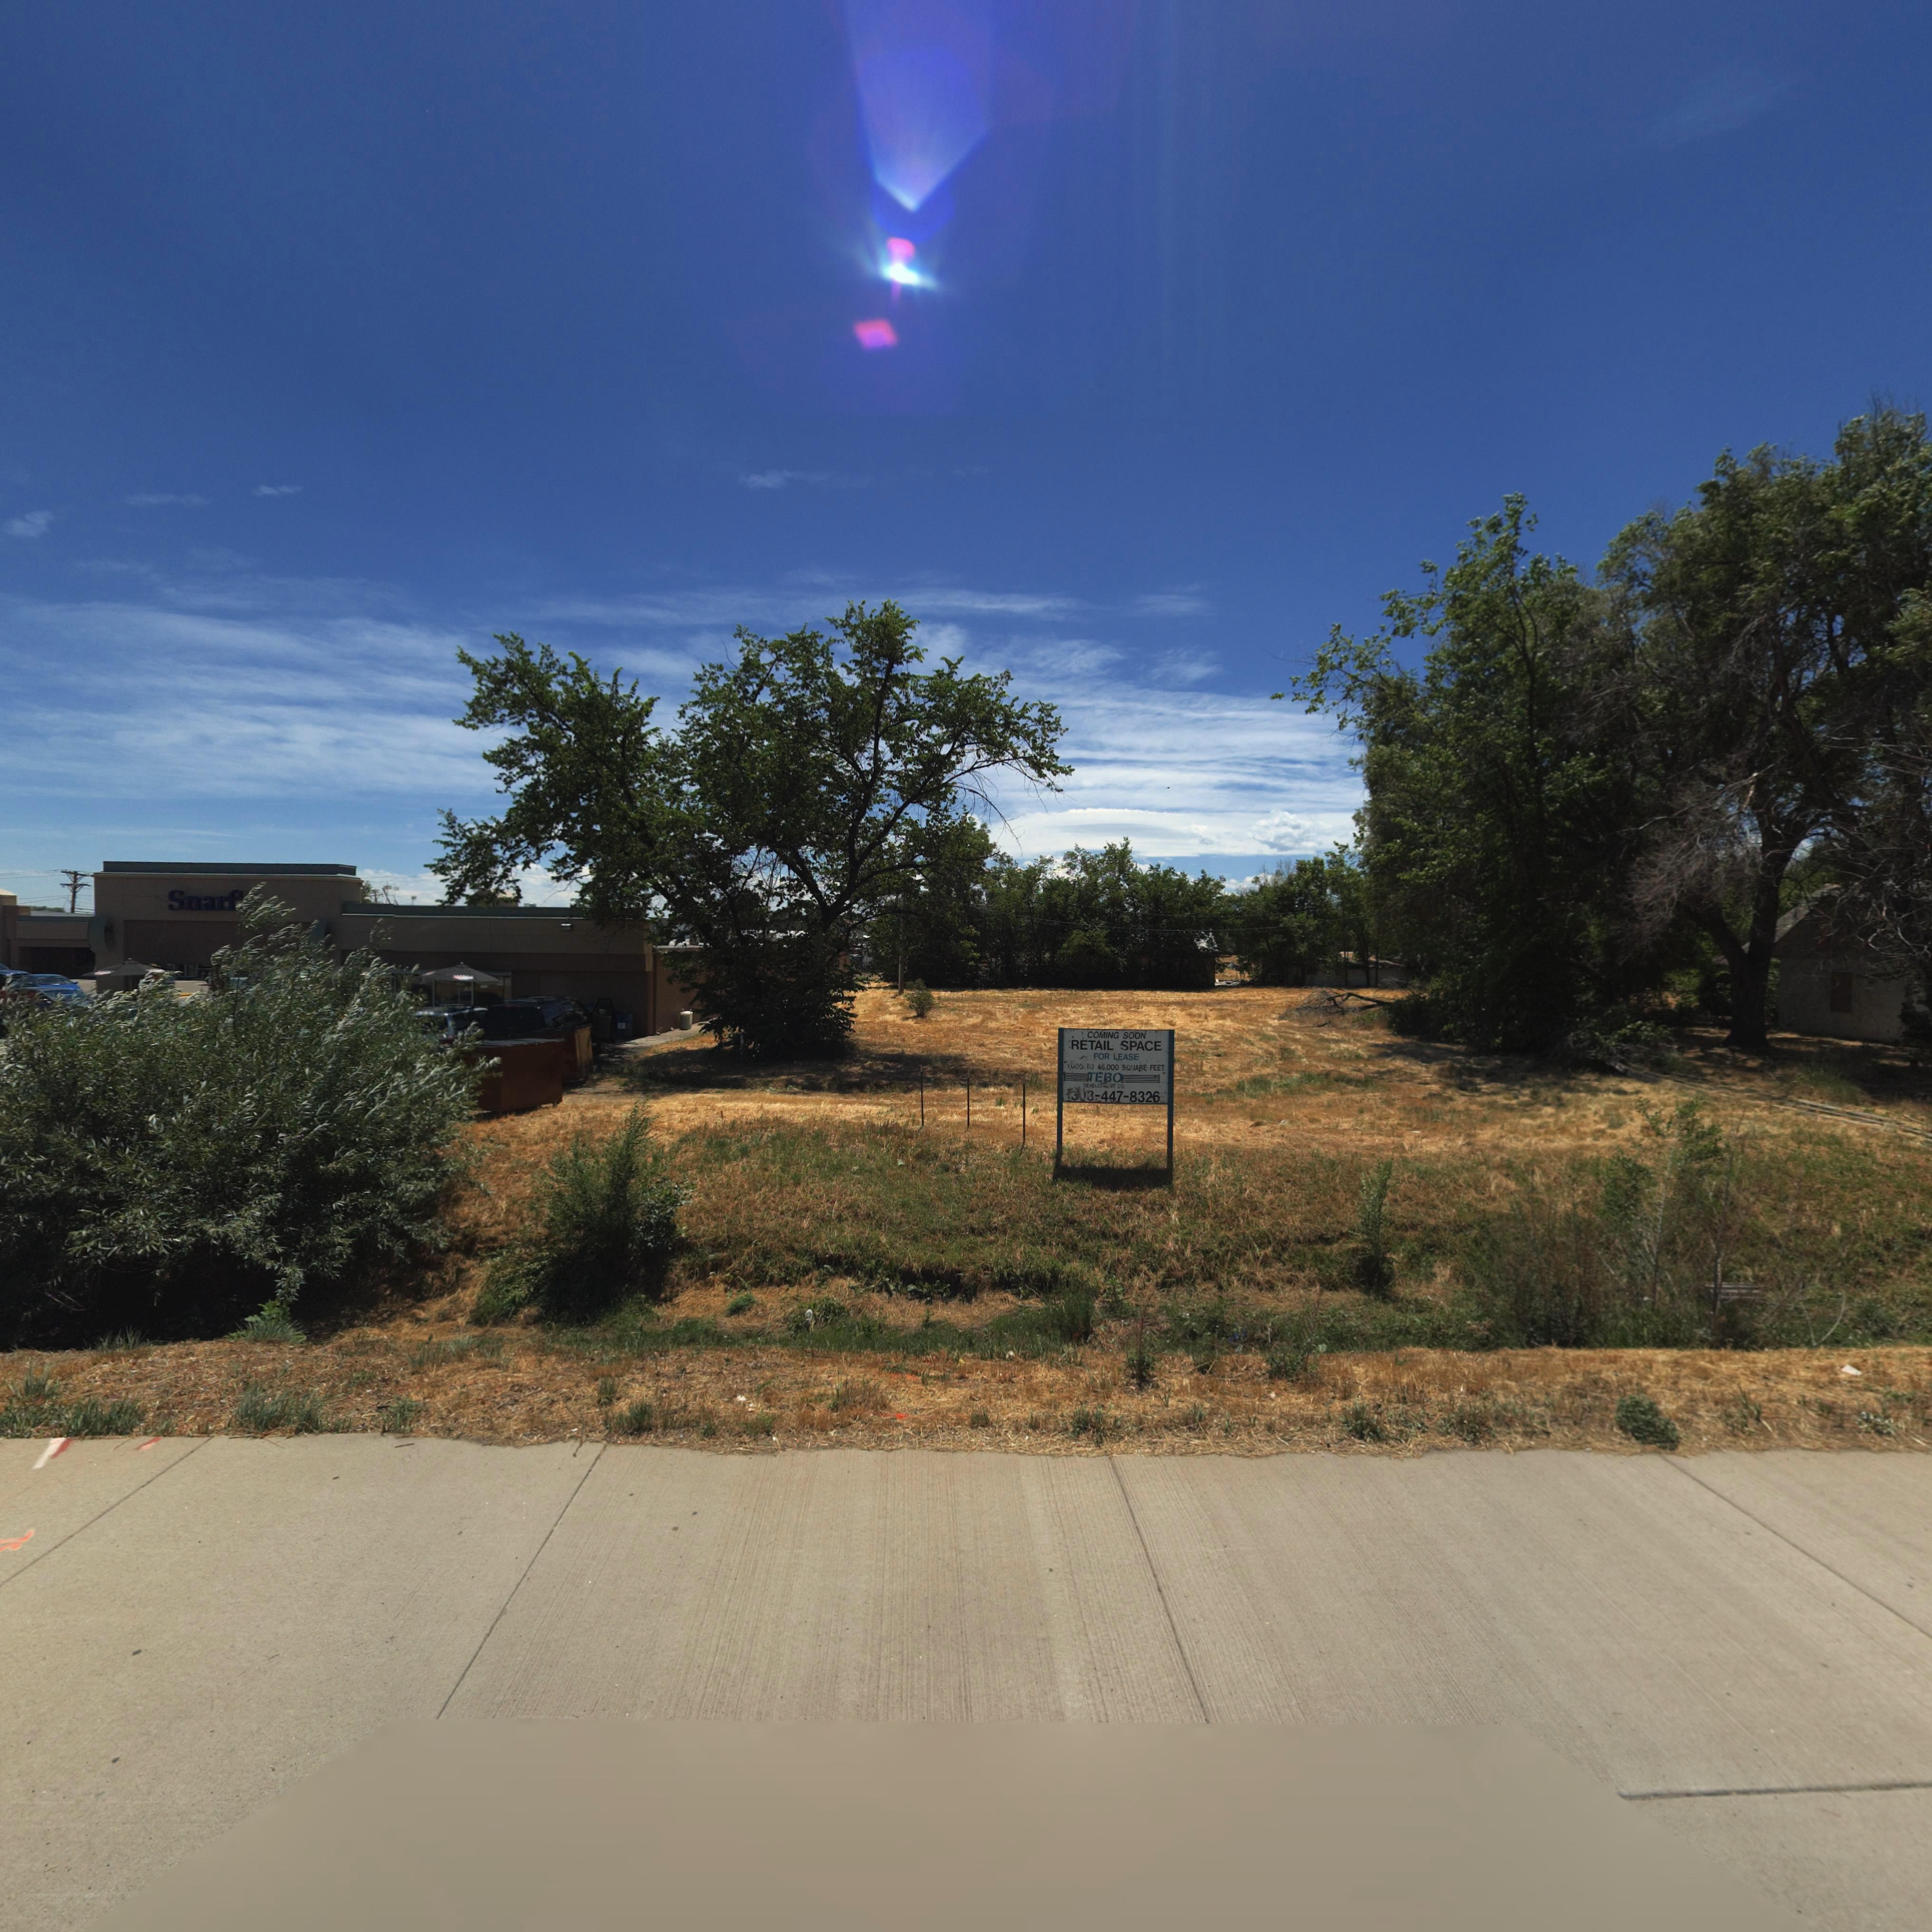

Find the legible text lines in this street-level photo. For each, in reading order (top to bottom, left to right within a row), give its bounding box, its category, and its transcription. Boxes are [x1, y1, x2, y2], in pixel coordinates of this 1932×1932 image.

[166, 888, 256, 912] BusinessName: Snarf'*